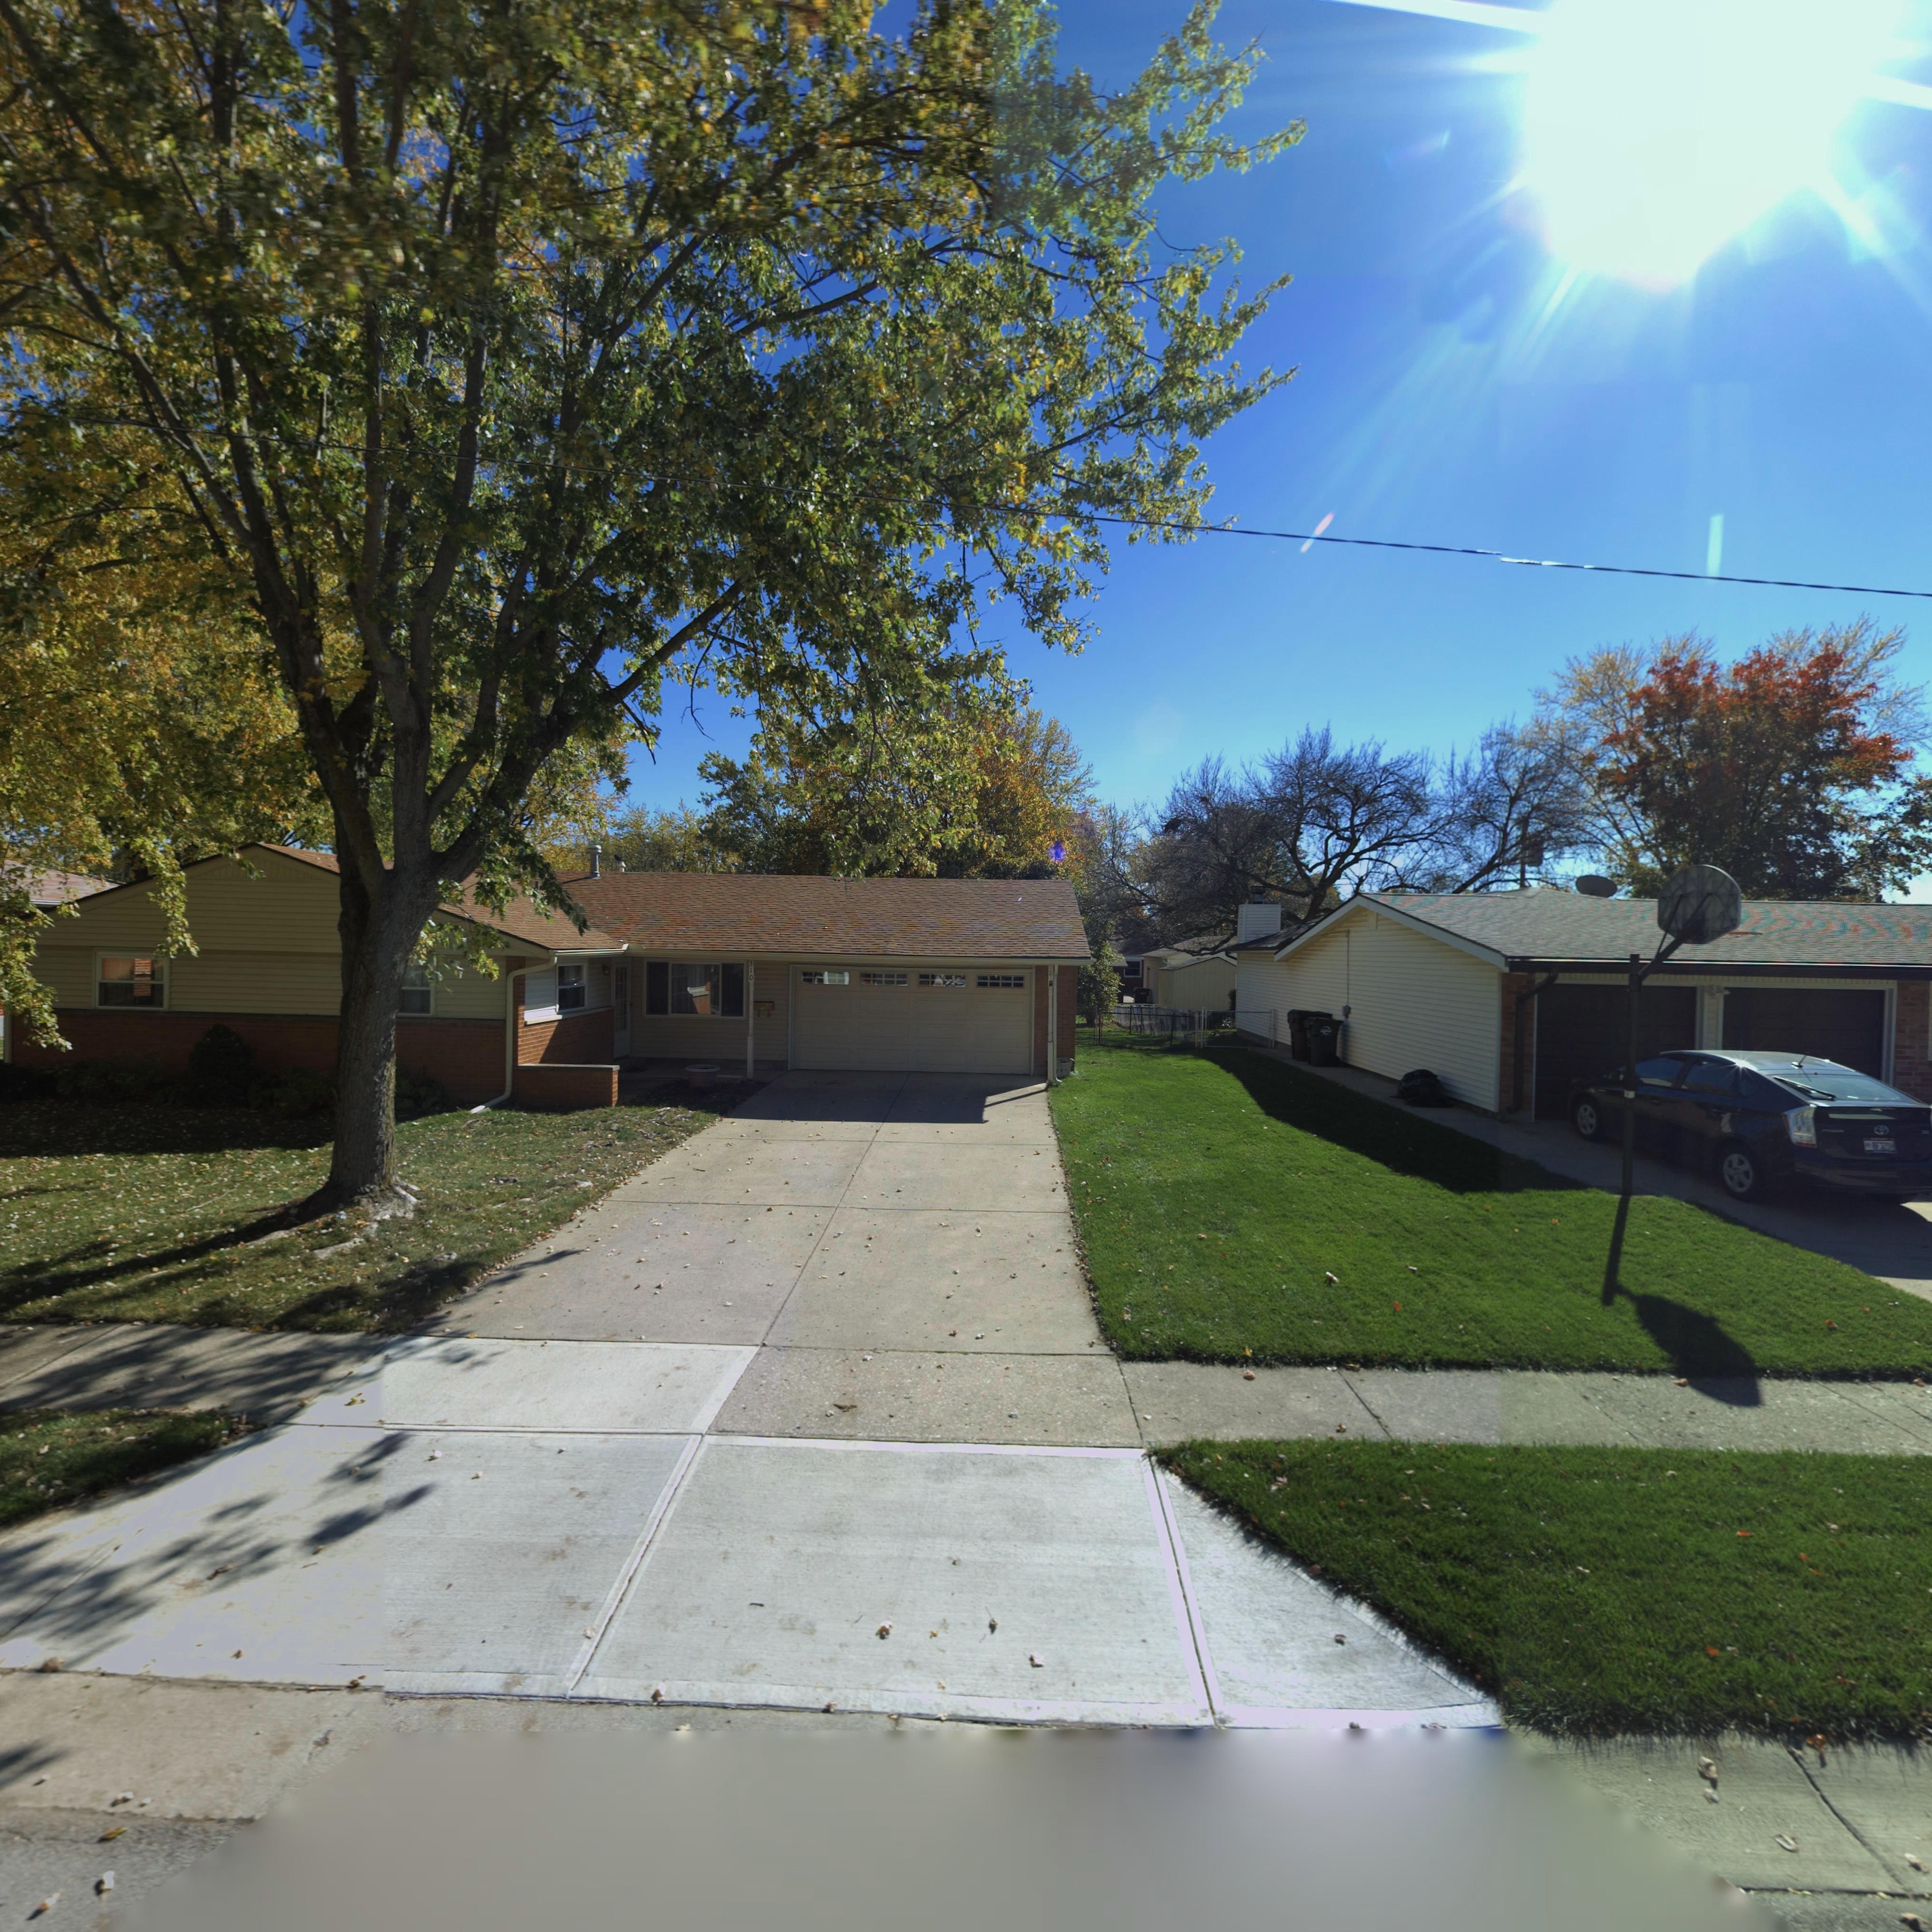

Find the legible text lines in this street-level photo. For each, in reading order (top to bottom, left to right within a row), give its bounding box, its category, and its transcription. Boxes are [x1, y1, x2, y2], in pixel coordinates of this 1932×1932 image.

[748, 959, 755, 982] StreetNumber: 310
[1872, 1141, 1889, 1151] None: BF32